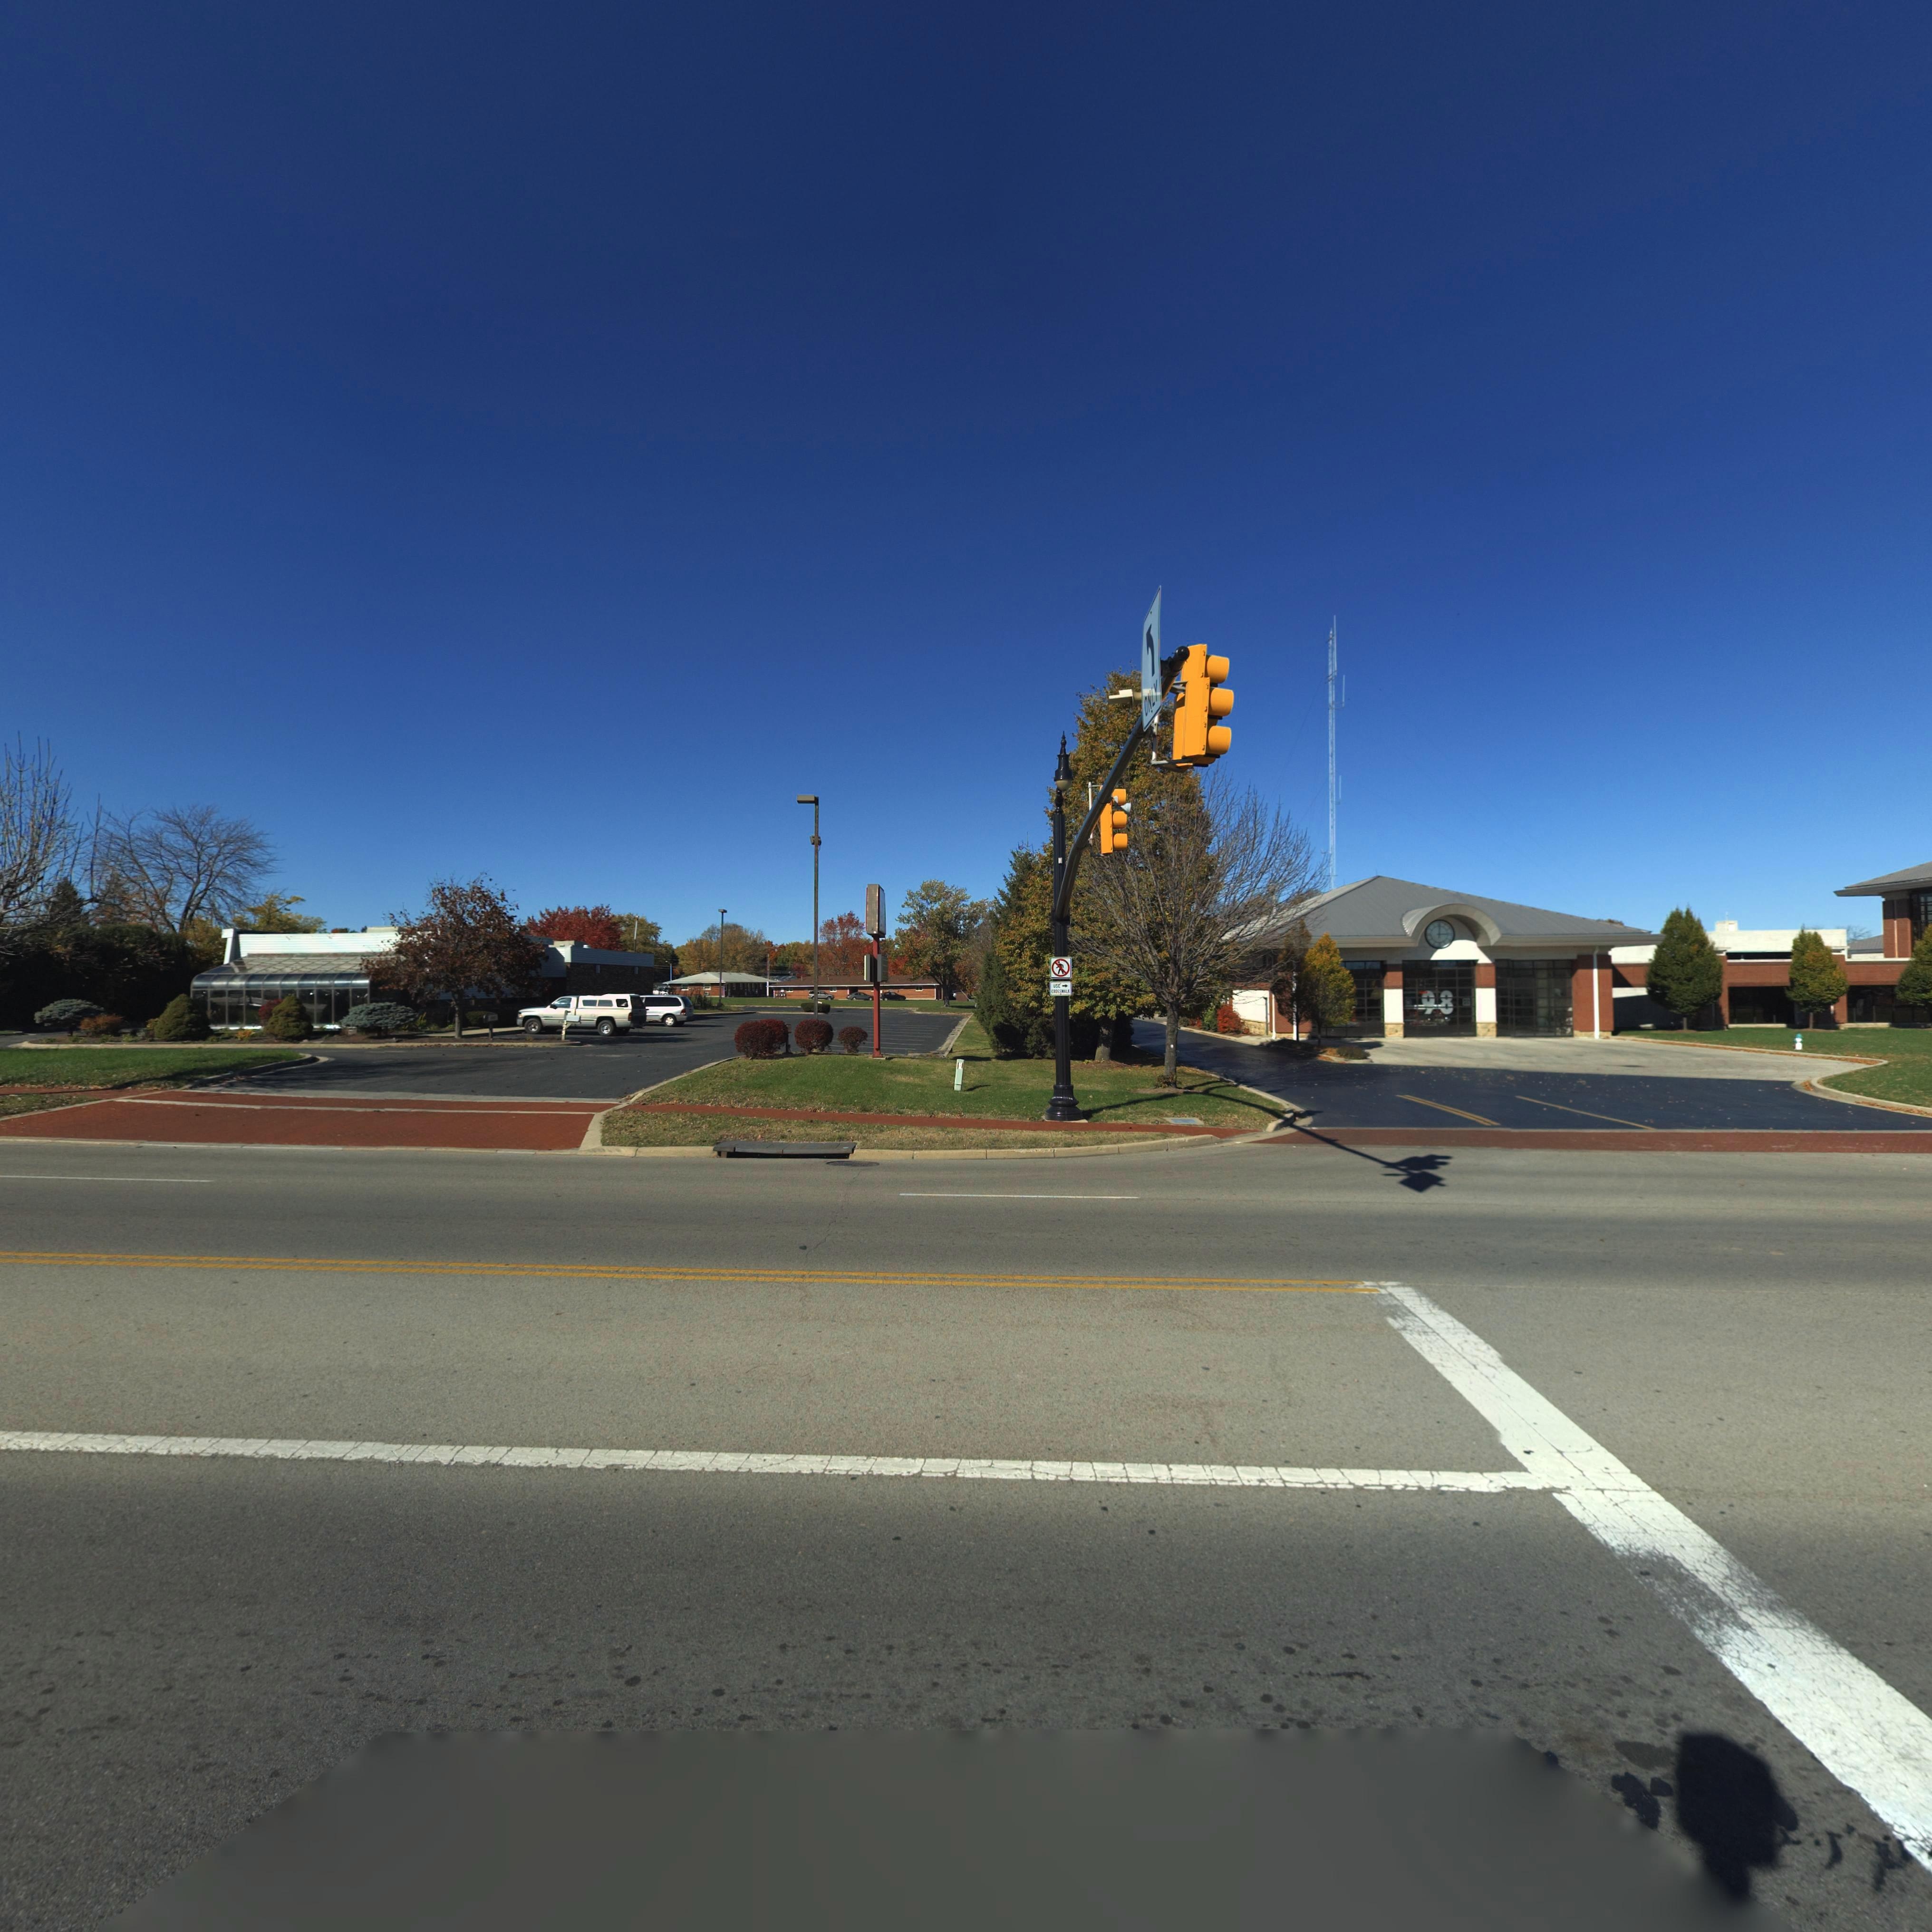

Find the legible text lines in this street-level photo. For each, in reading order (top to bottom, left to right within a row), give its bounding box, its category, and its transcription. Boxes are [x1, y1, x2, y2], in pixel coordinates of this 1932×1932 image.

[1053, 983, 1061, 989] None: USE
[1051, 989, 1070, 994] None: CROSSWALK
[1420, 989, 1454, 1016] None: 98
[560, 1019, 568, 1036] StreetNumber: 375